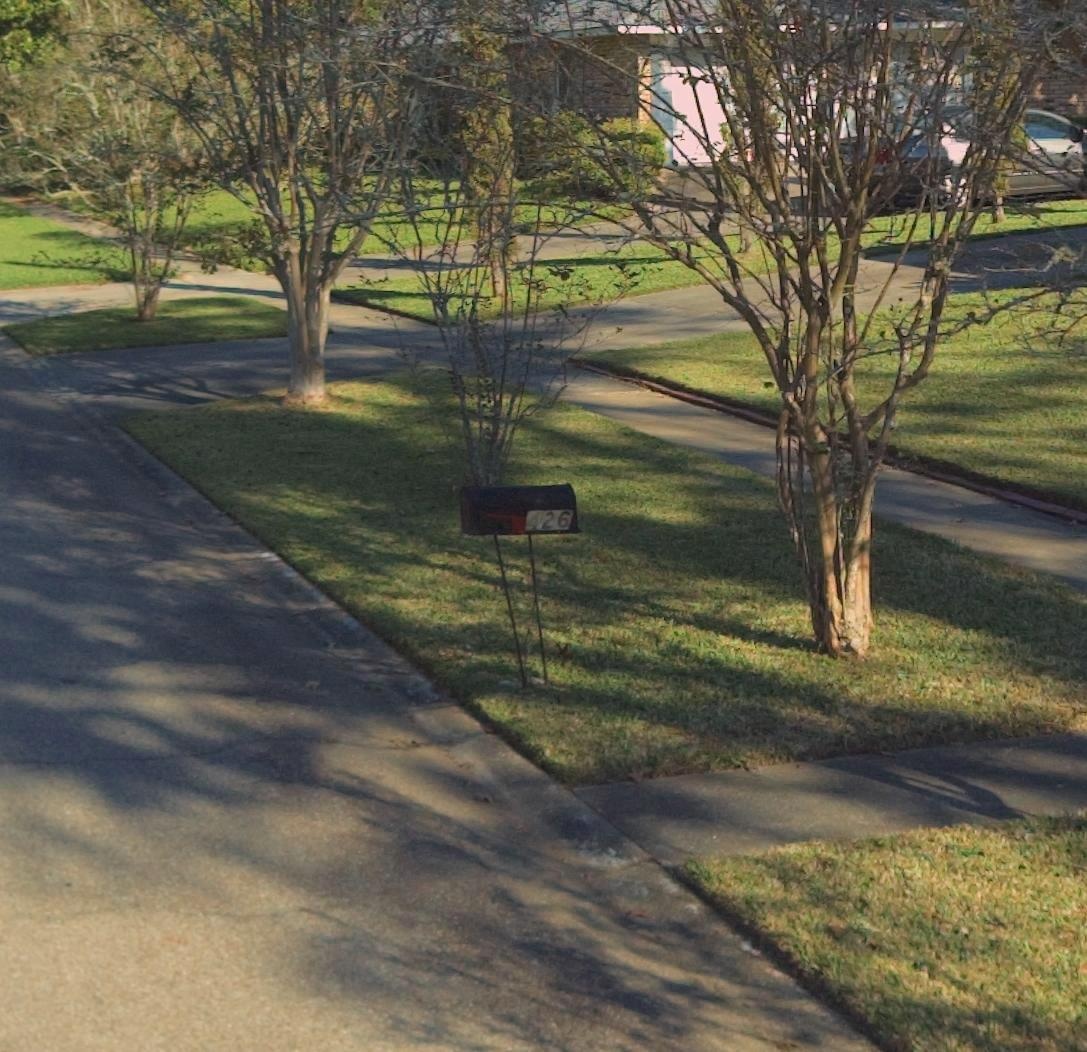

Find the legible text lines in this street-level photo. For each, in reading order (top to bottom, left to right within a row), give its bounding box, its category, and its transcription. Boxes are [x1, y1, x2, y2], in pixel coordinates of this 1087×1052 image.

[520, 509, 572, 532] StreetNumber: 426